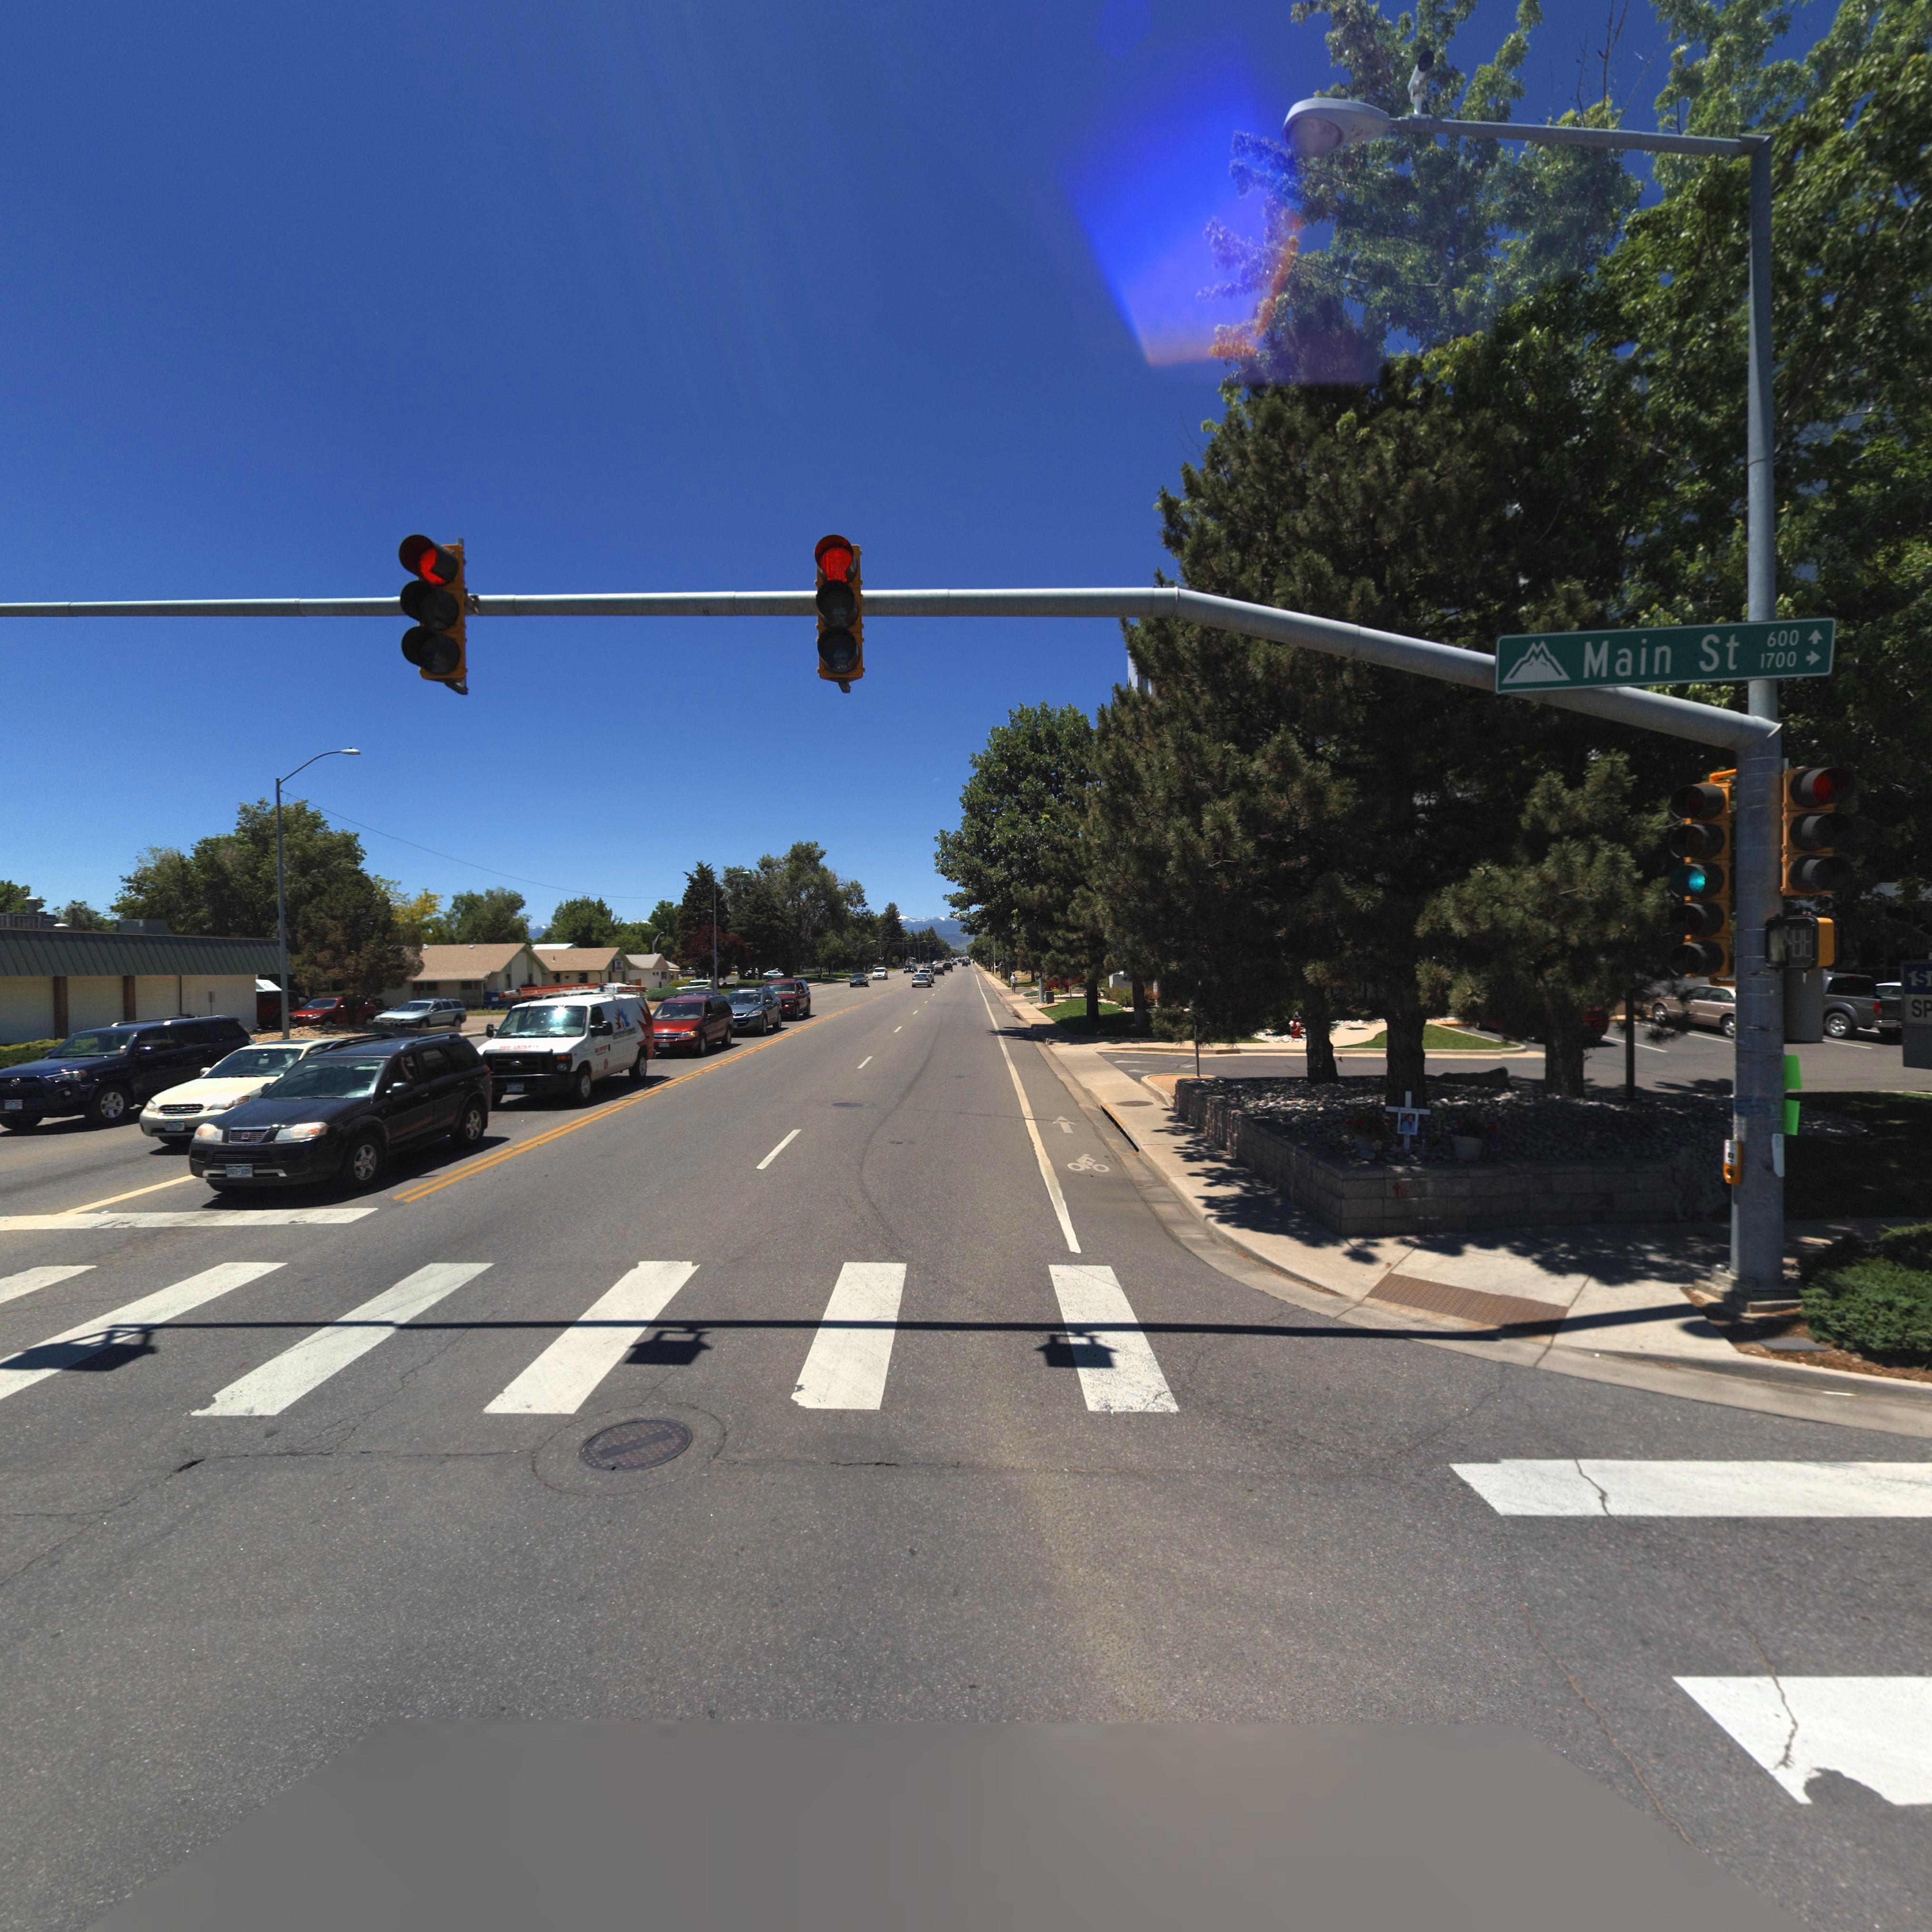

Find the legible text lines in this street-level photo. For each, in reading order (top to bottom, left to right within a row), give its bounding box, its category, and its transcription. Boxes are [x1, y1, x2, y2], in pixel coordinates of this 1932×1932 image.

[1766, 628, 1799, 648] StreetNumberRange: 600
[1582, 631, 1740, 680] BusinessName: Main St
[1759, 649, 1823, 670] StreetNumberRange: 1700 ->
[1907, 969, 1928, 986] BusinessName: 1S